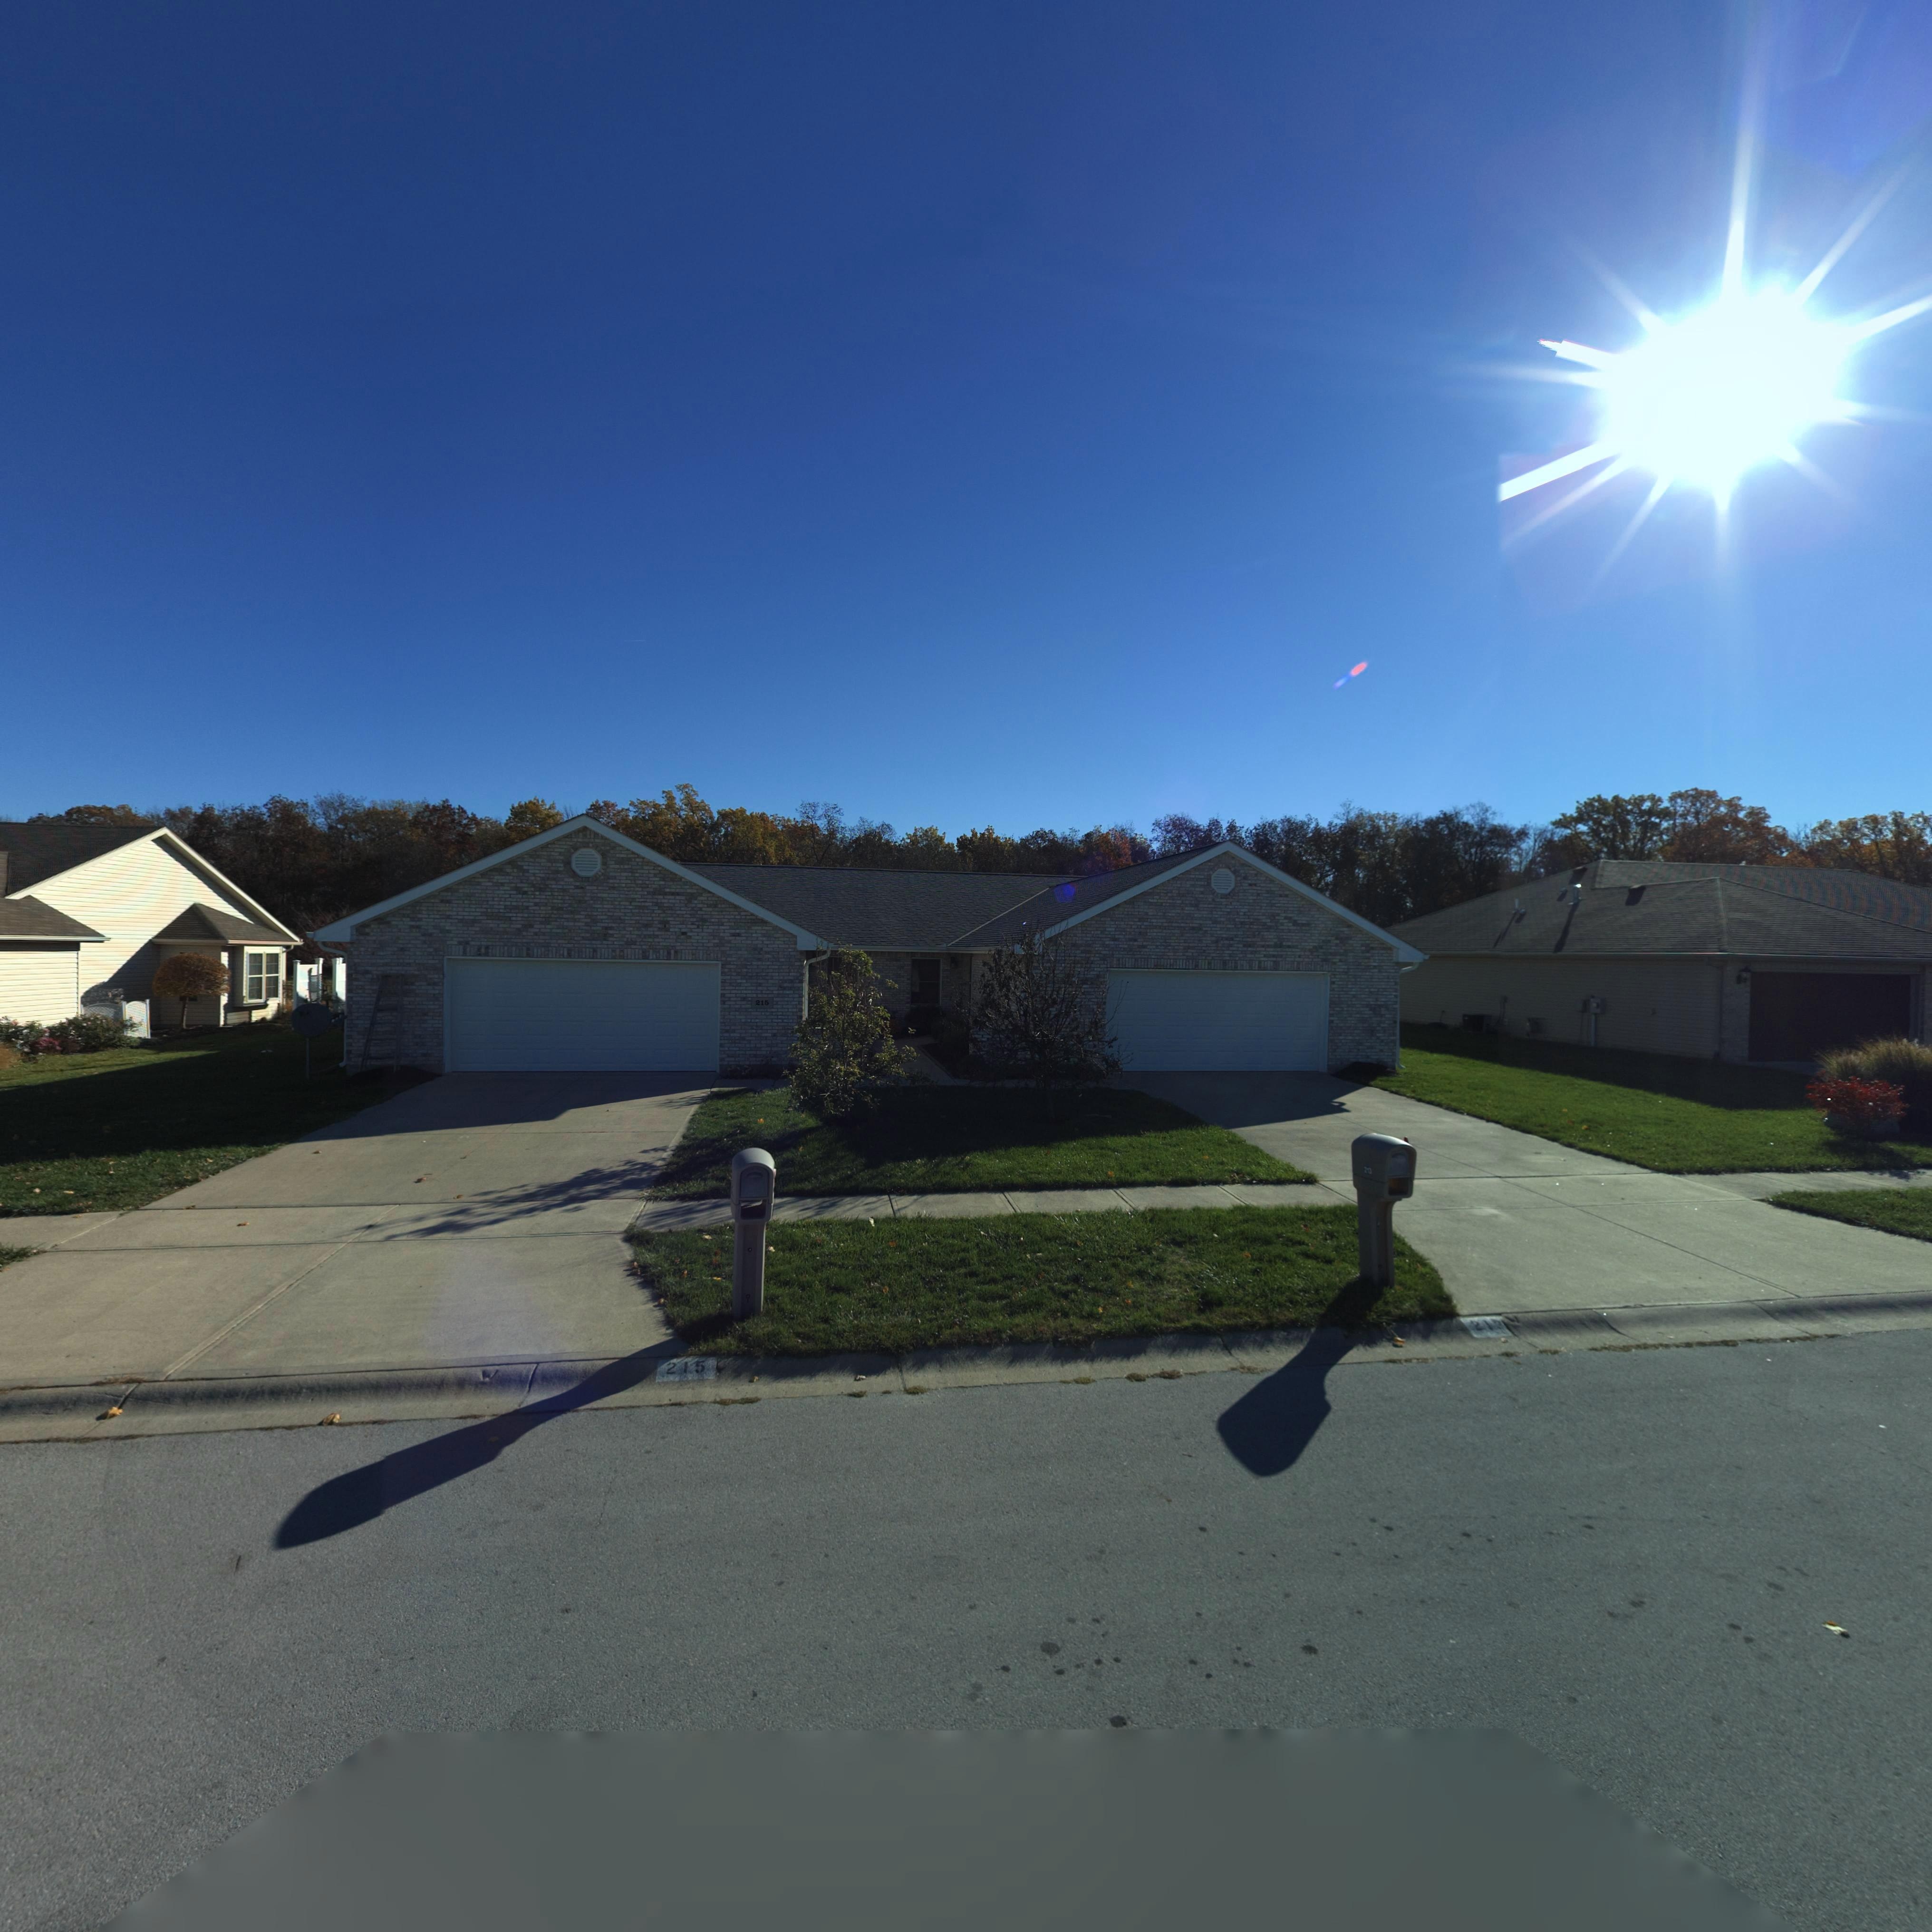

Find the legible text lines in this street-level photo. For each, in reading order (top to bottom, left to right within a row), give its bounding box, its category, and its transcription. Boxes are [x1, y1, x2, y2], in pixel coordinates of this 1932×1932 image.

[754, 999, 770, 1006] StreetNumber: 215
[664, 1358, 708, 1377] StreetNumber: 215